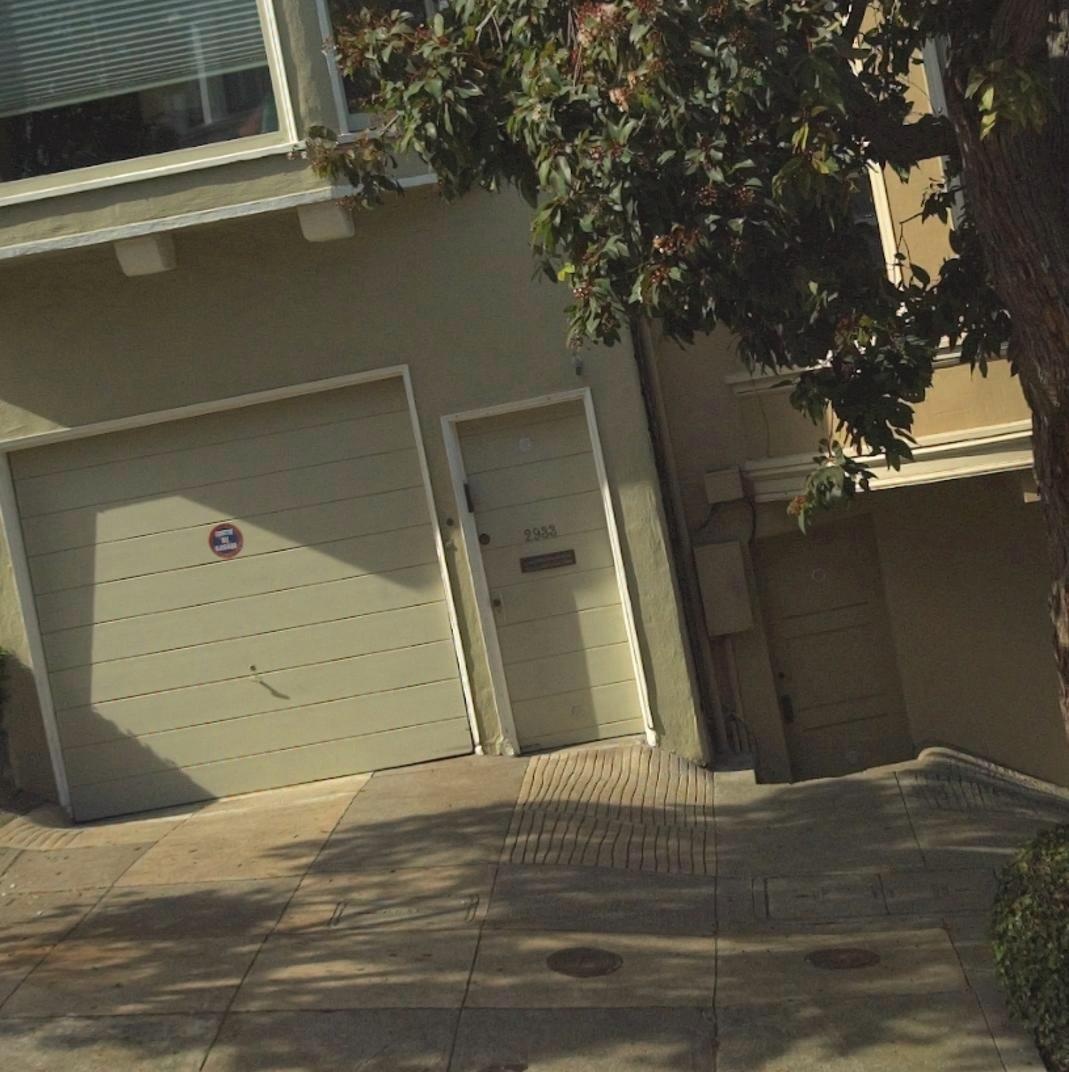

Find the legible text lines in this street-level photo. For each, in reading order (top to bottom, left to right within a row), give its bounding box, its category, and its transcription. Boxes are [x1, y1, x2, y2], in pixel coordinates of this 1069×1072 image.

[521, 520, 559, 545] StreetNumber: 2933